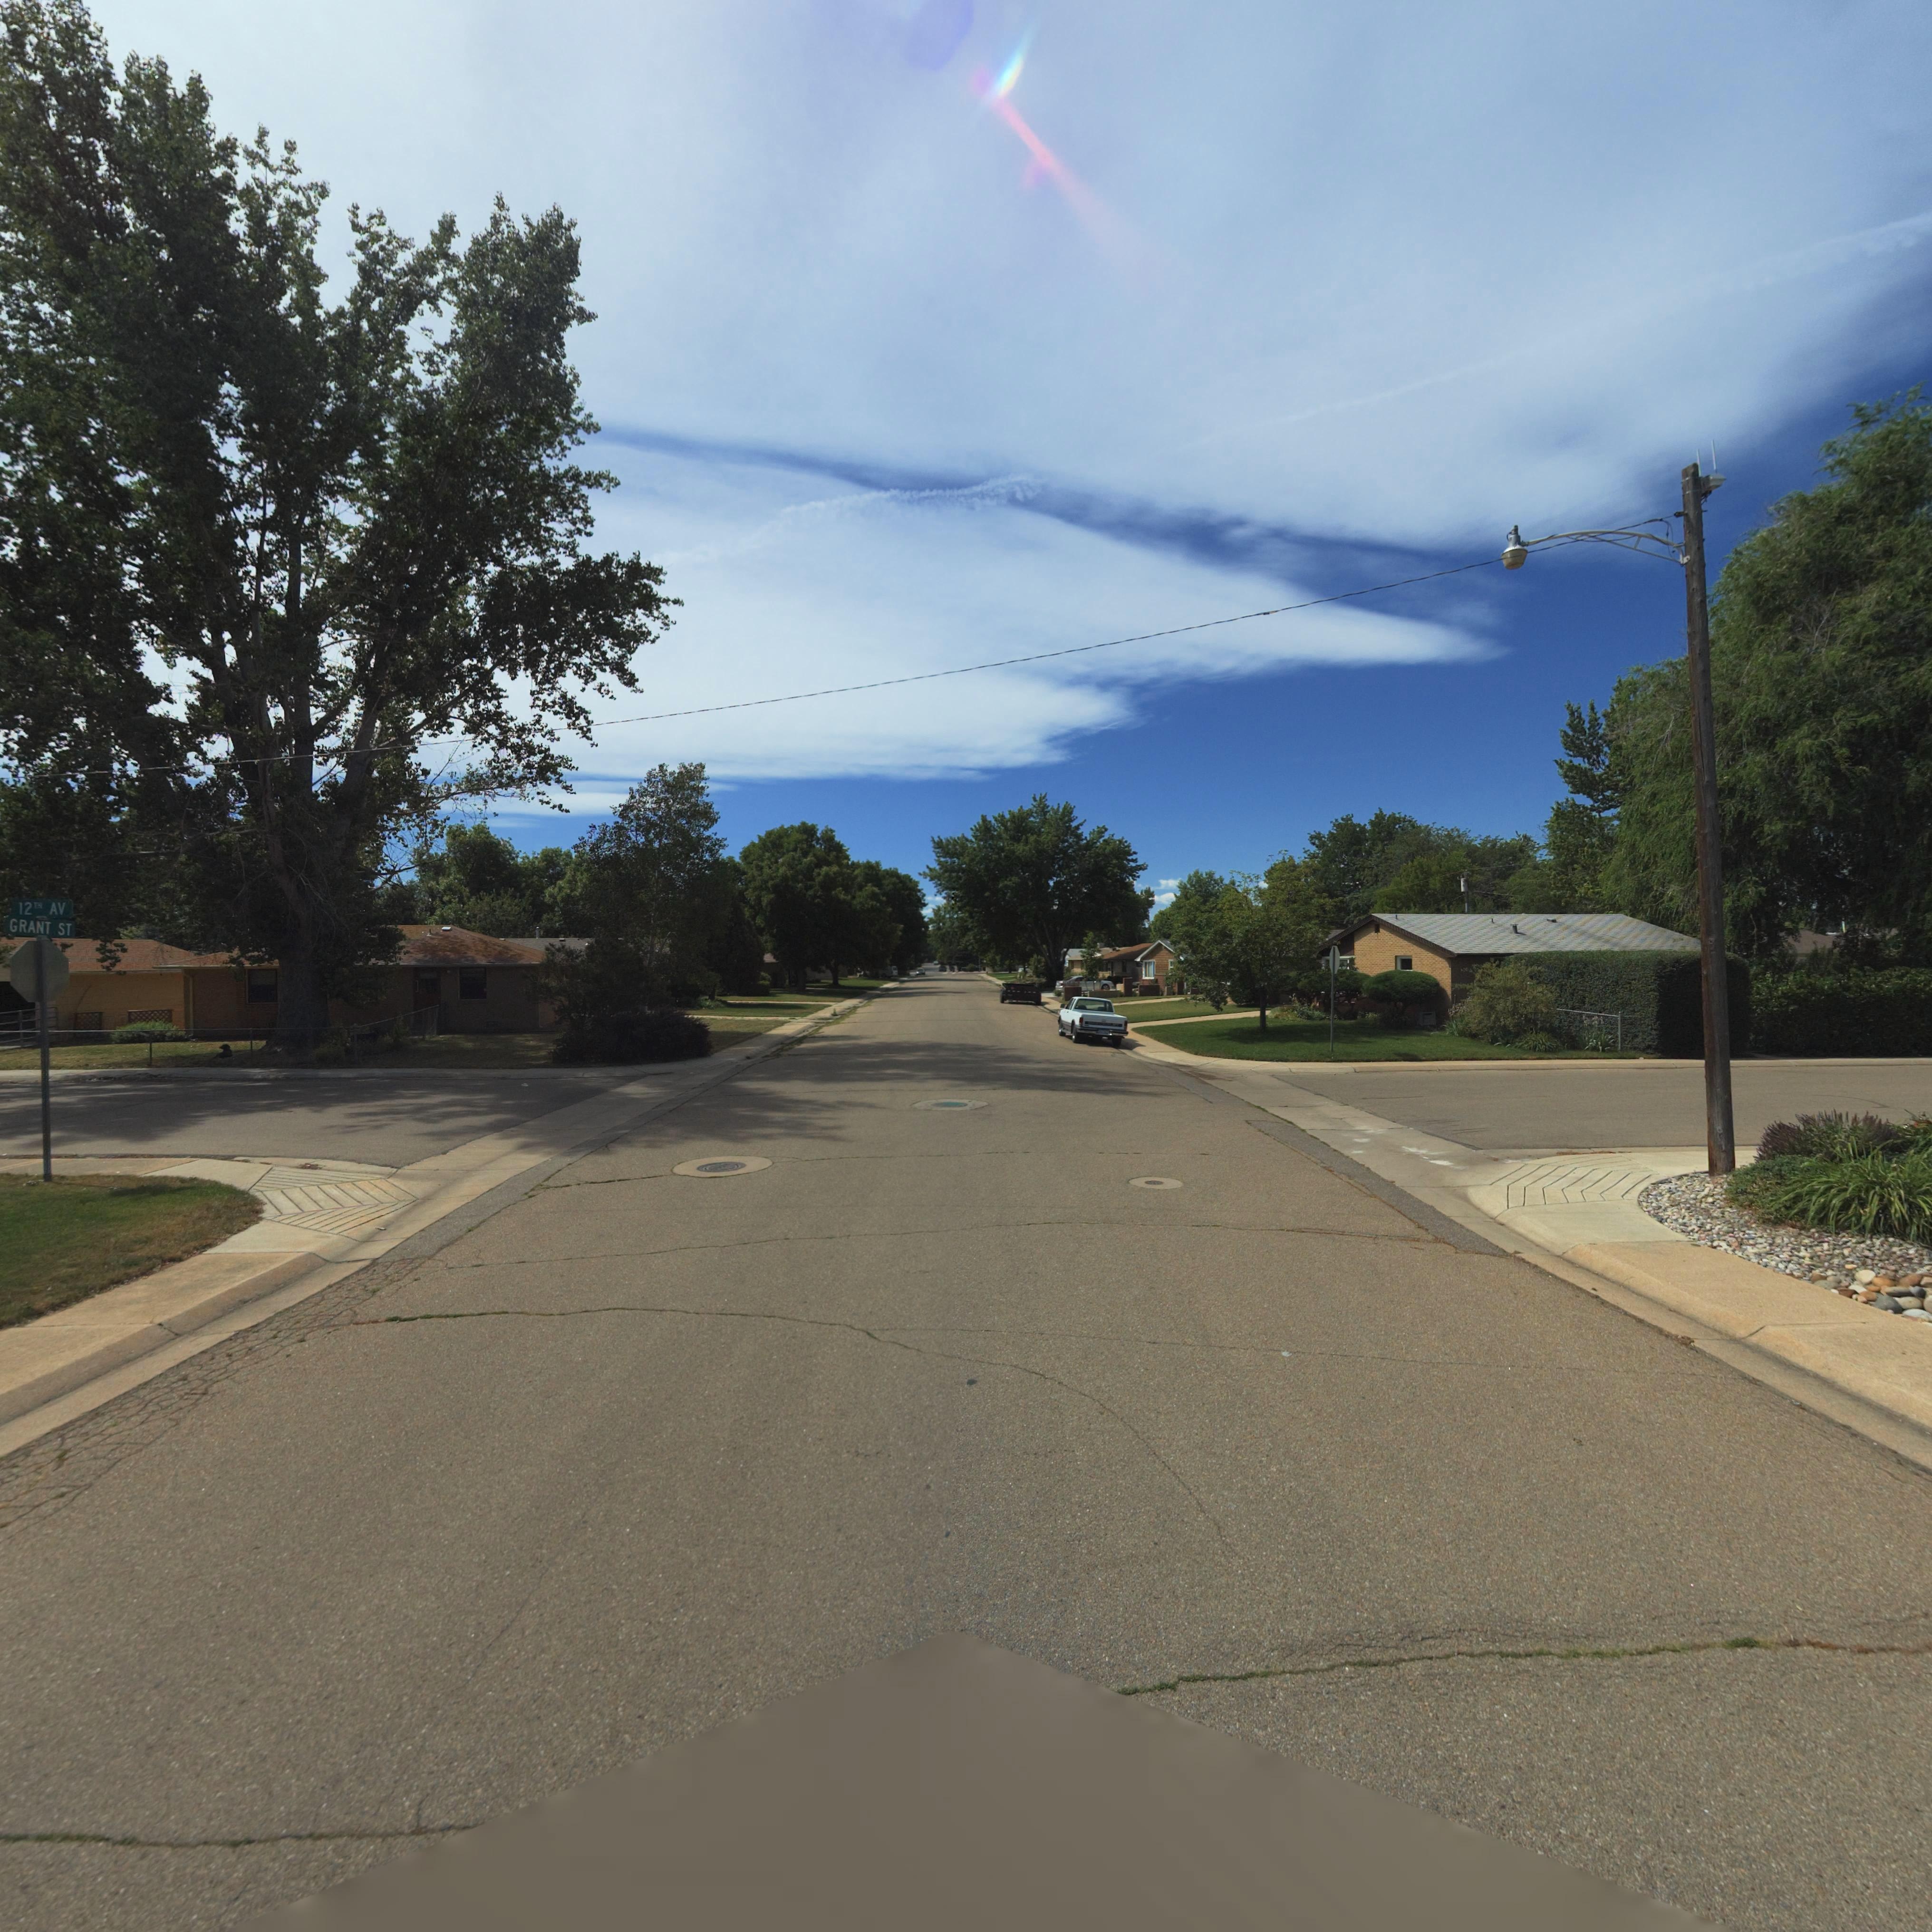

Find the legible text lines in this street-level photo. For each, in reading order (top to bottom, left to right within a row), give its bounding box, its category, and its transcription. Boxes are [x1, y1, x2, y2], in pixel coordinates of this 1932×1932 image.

[18, 901, 68, 916] StreetName: 12TH AV
[8, 917, 72, 936] StreetName: GRANT ST